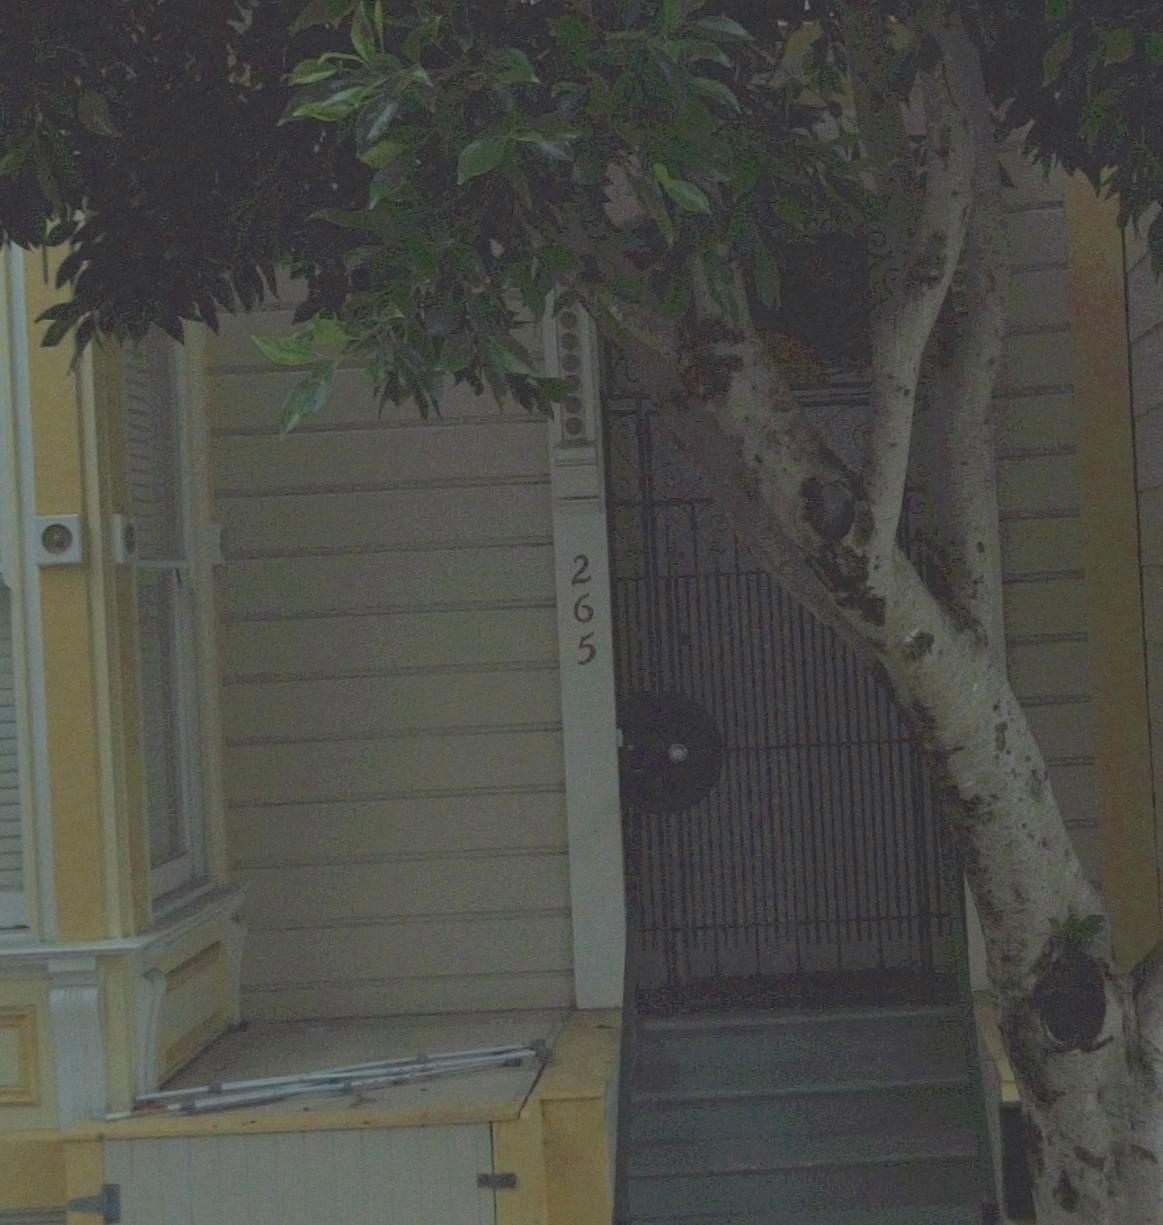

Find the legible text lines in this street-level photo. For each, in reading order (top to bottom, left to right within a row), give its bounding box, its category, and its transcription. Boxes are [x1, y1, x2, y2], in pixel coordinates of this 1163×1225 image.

[568, 552, 599, 668] StreetNumber: 265